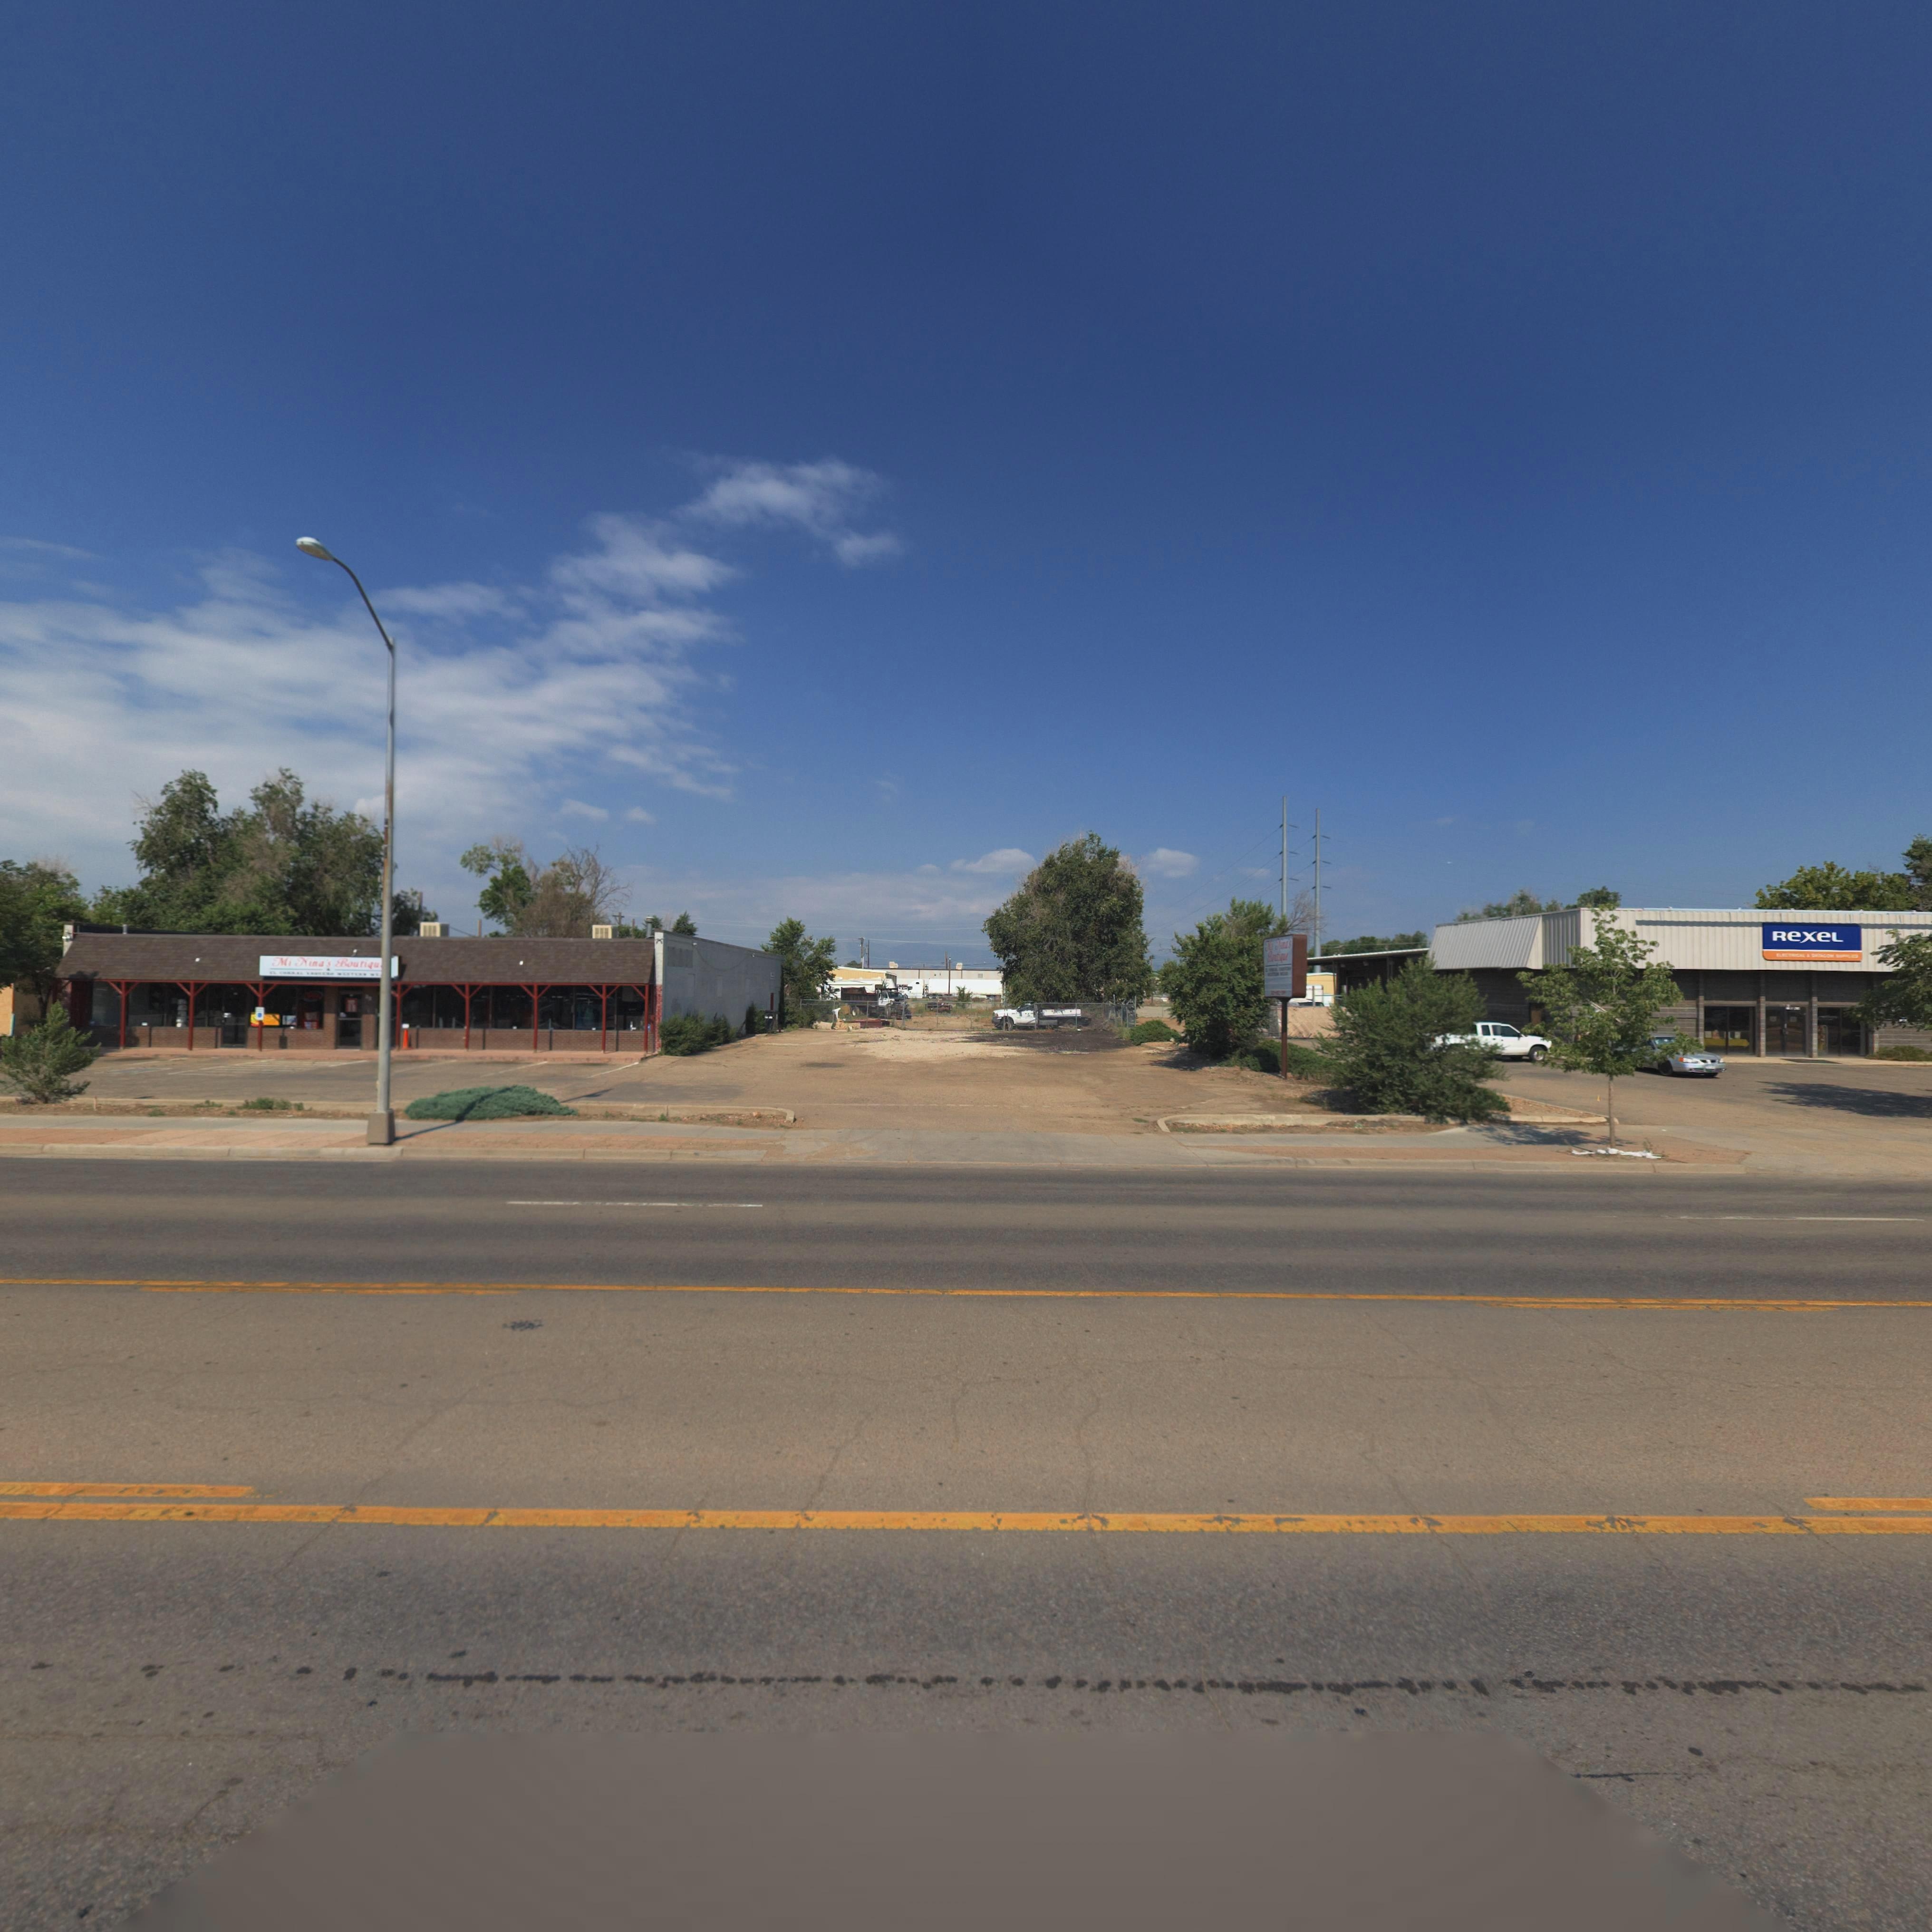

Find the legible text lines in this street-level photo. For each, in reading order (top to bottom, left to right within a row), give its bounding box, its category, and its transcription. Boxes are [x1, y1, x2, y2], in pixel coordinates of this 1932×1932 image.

[1771, 930, 1844, 943] BusinessName: REXEL
[1264, 937, 1292, 952] BusinessName: Mi N****
[271, 956, 380, 969] BusinessName: Mi Nina's Boutiqu
[1267, 950, 1288, 963] BusinessName: B*******